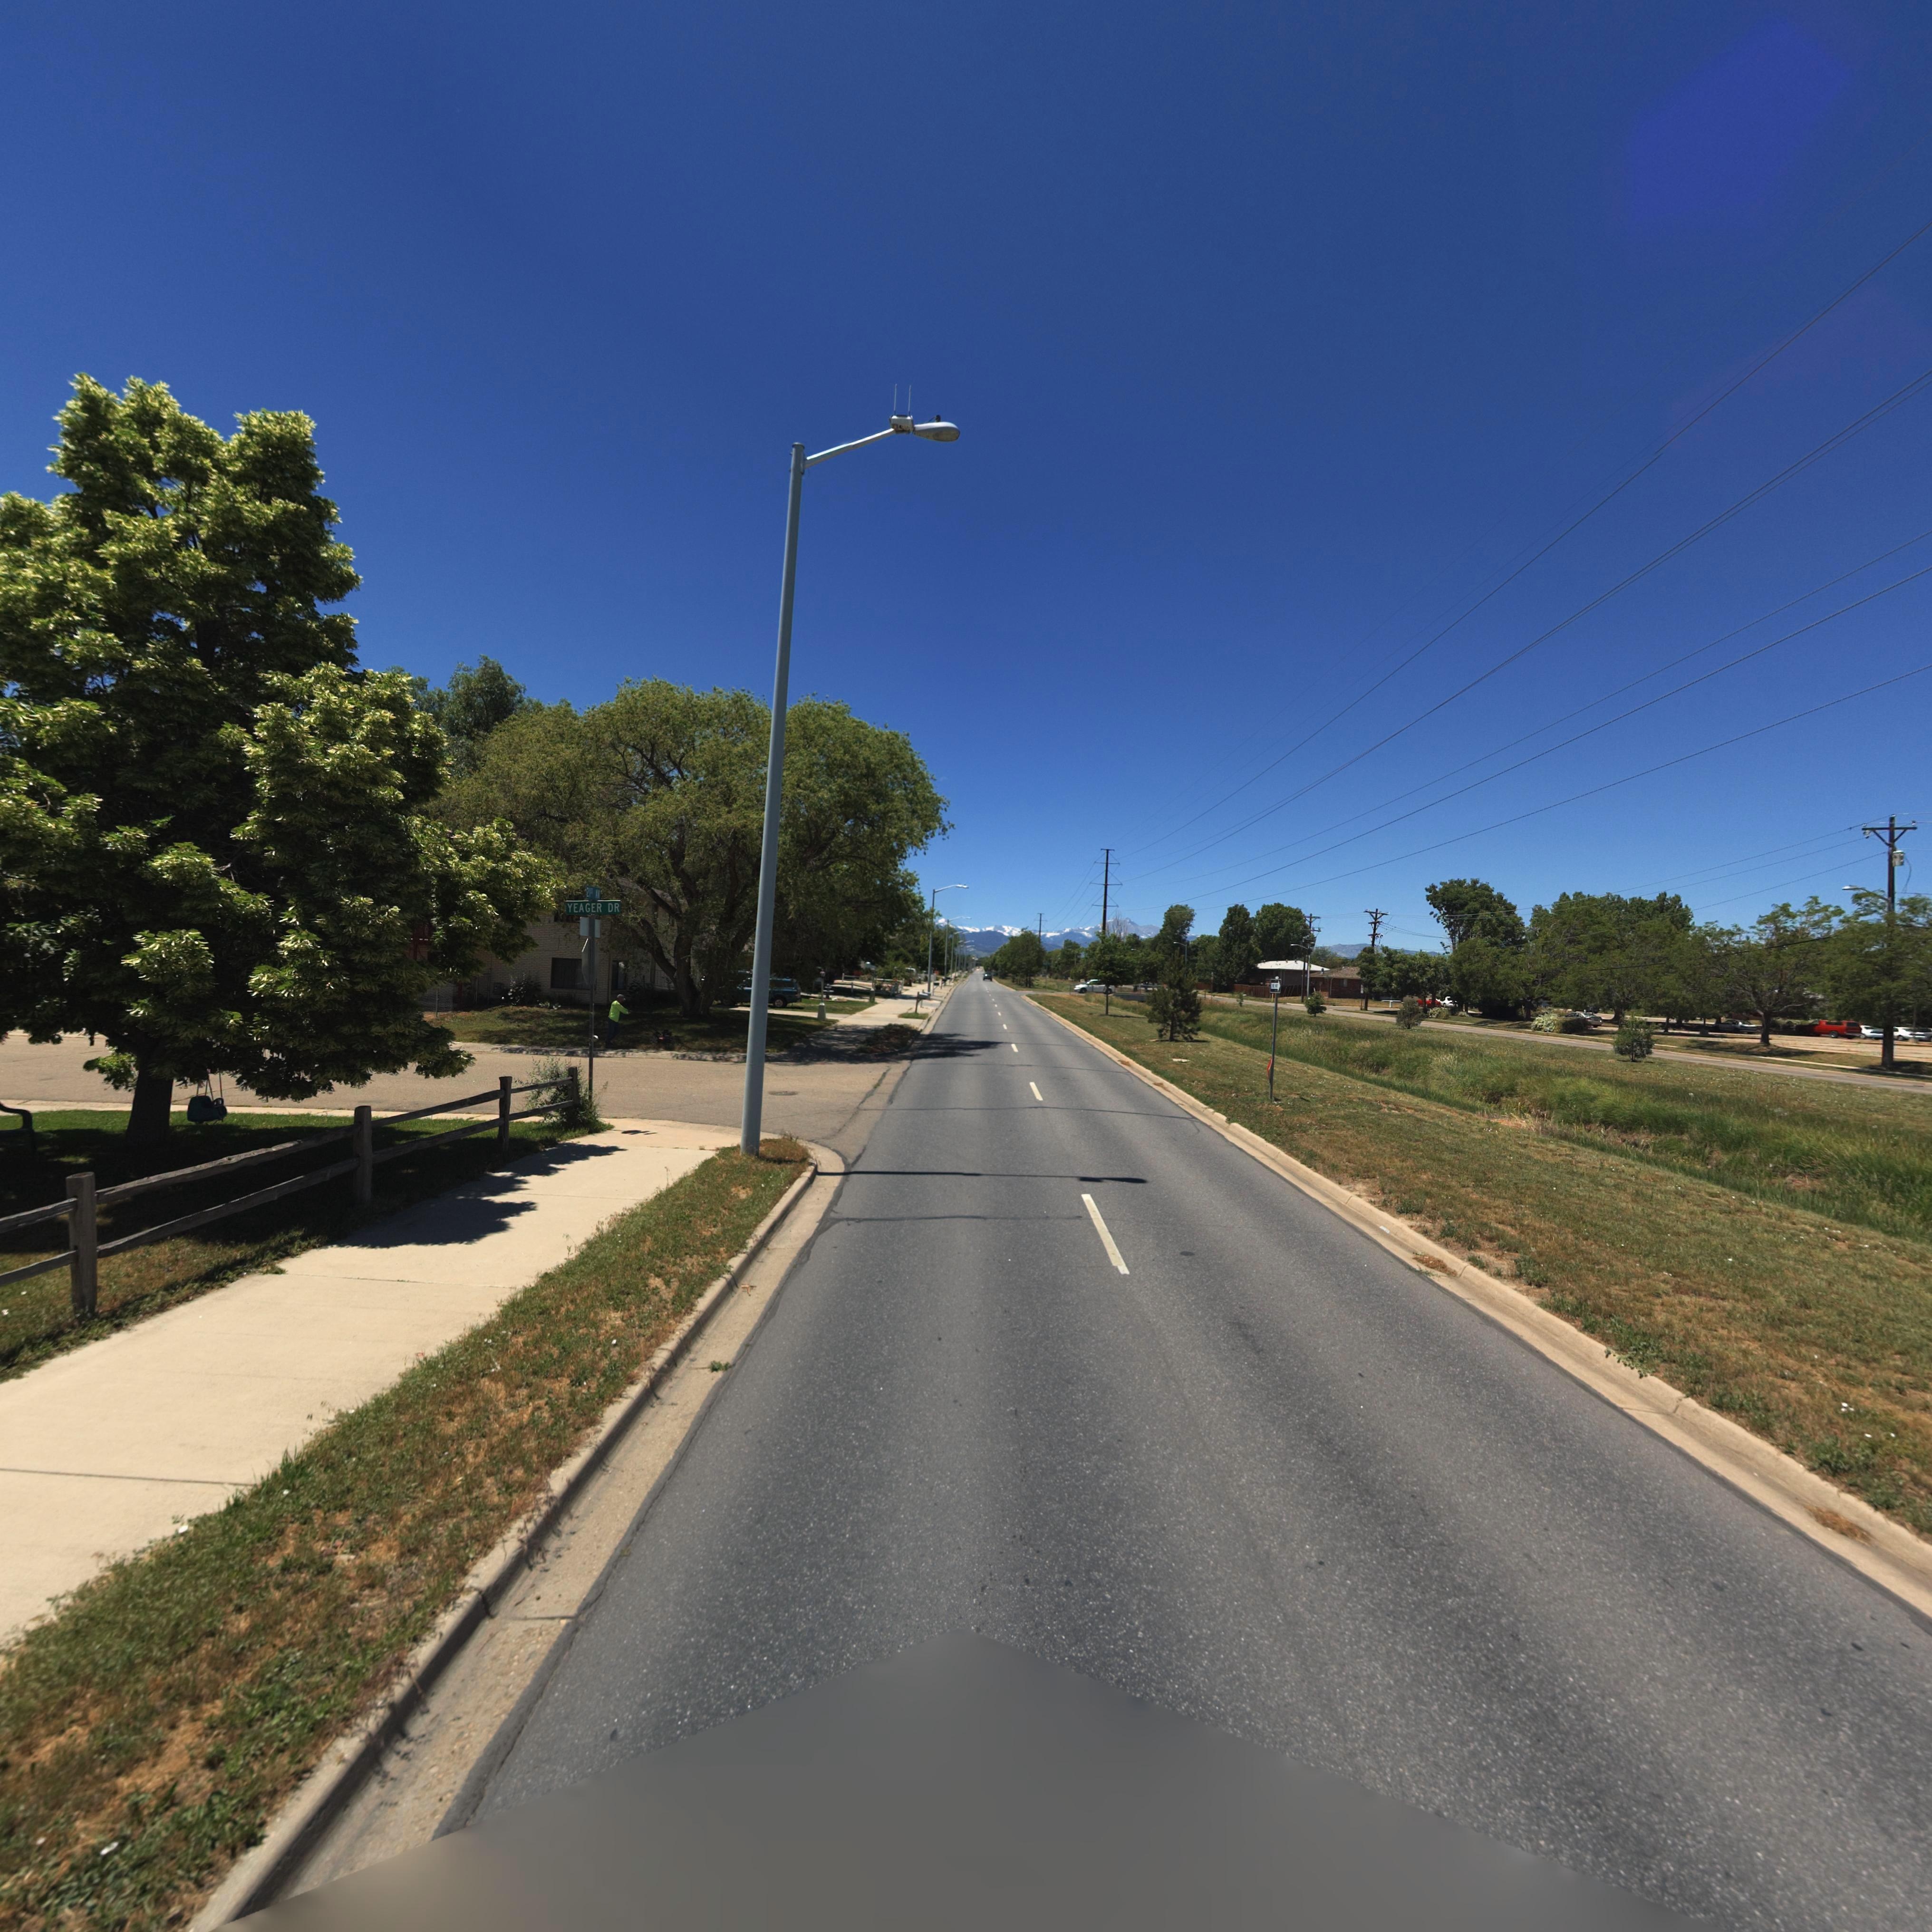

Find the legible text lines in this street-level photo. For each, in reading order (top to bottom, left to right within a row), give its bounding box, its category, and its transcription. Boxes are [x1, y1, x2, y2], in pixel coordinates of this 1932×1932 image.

[585, 886, 601, 900] StreetName: 21ST AV
[568, 903, 618, 912] StreetName: YEAGER DR